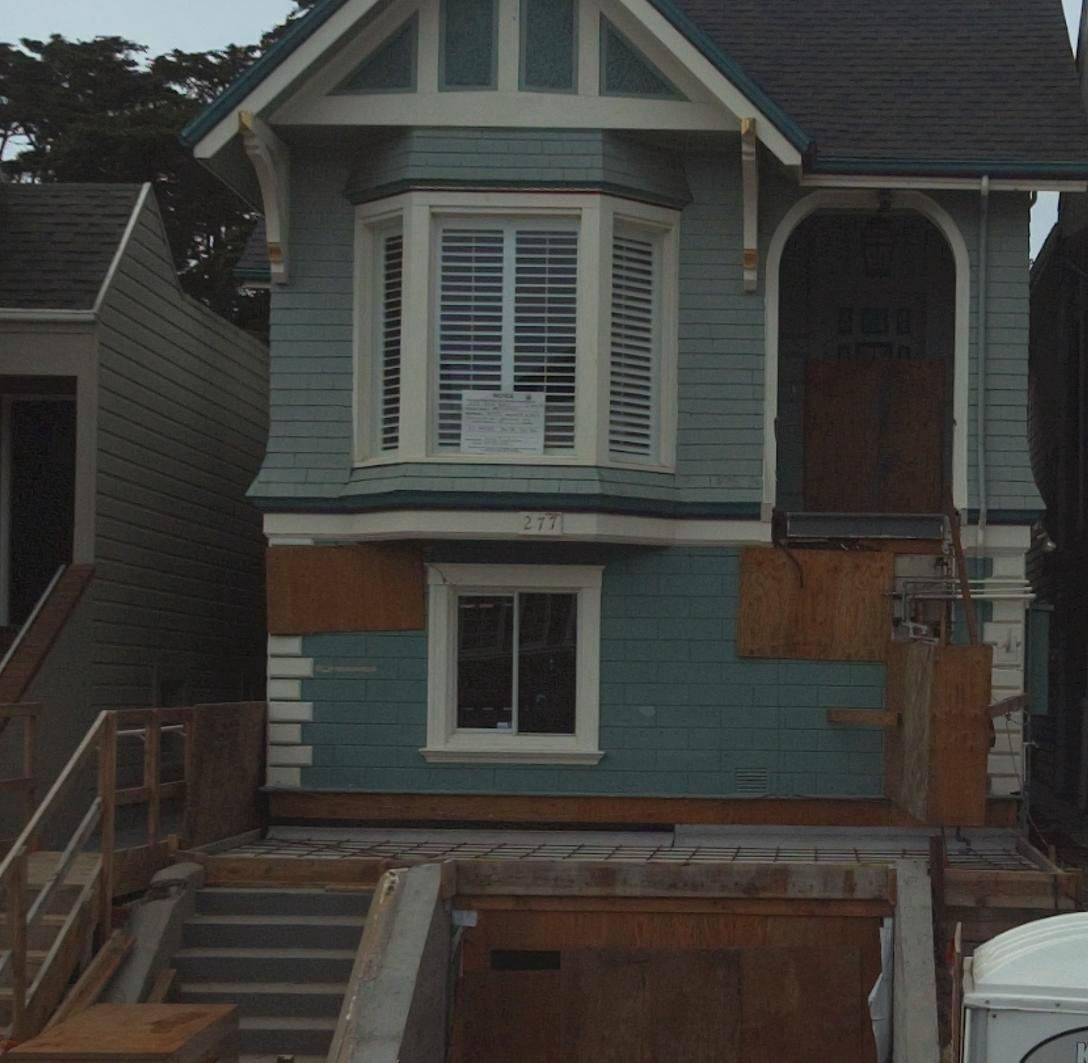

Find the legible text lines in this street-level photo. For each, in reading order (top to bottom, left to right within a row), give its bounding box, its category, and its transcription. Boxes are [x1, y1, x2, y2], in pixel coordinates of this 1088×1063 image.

[523, 514, 558, 533] StreetNumber: 277